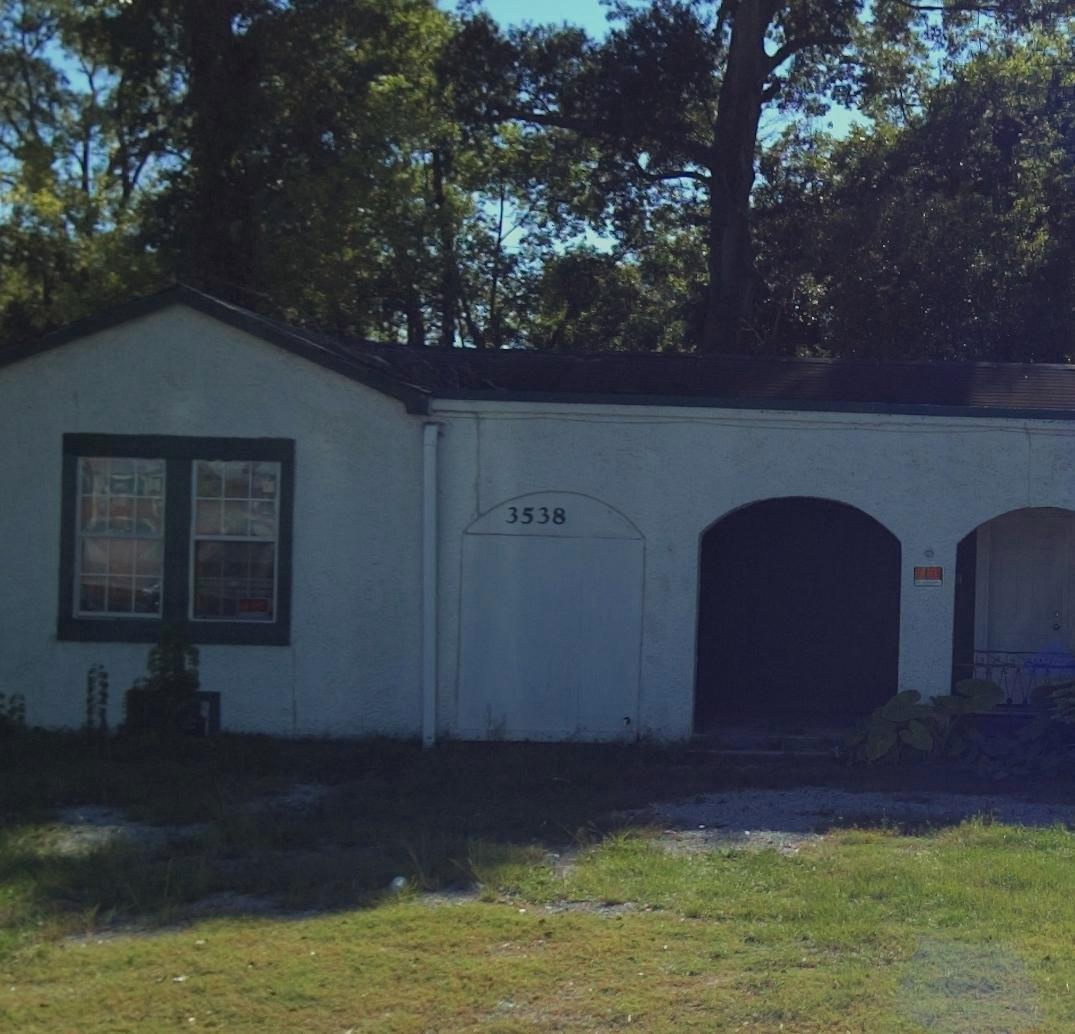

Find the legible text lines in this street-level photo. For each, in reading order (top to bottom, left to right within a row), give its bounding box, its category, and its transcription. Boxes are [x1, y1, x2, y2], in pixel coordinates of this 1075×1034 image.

[502, 504, 569, 527] StreetNumber: 3538